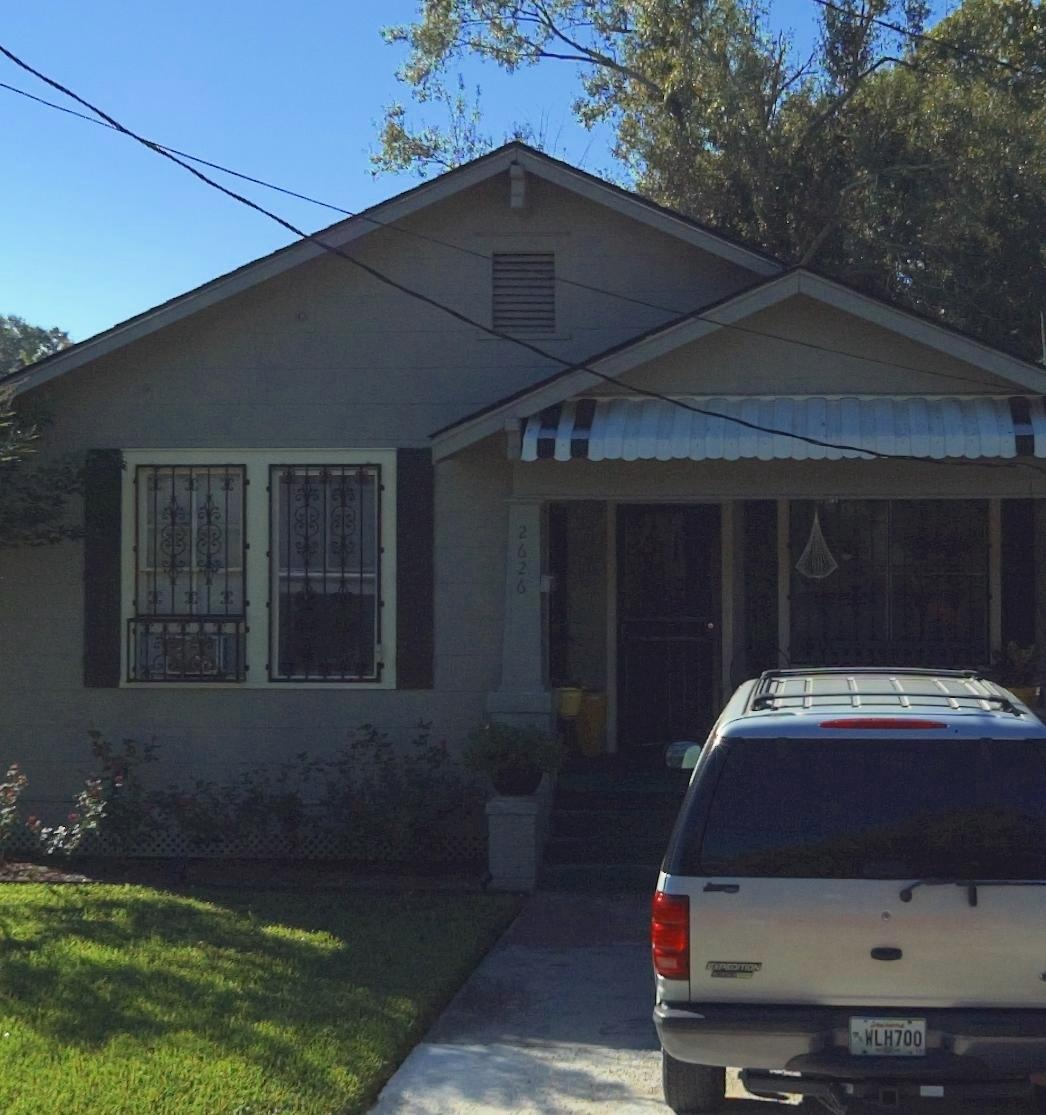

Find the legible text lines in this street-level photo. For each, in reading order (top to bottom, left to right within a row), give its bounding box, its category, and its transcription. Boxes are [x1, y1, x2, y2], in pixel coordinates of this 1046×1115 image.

[514, 523, 529, 596] StreetNumber: 2626
[863, 1026, 924, 1050] None: WLH700